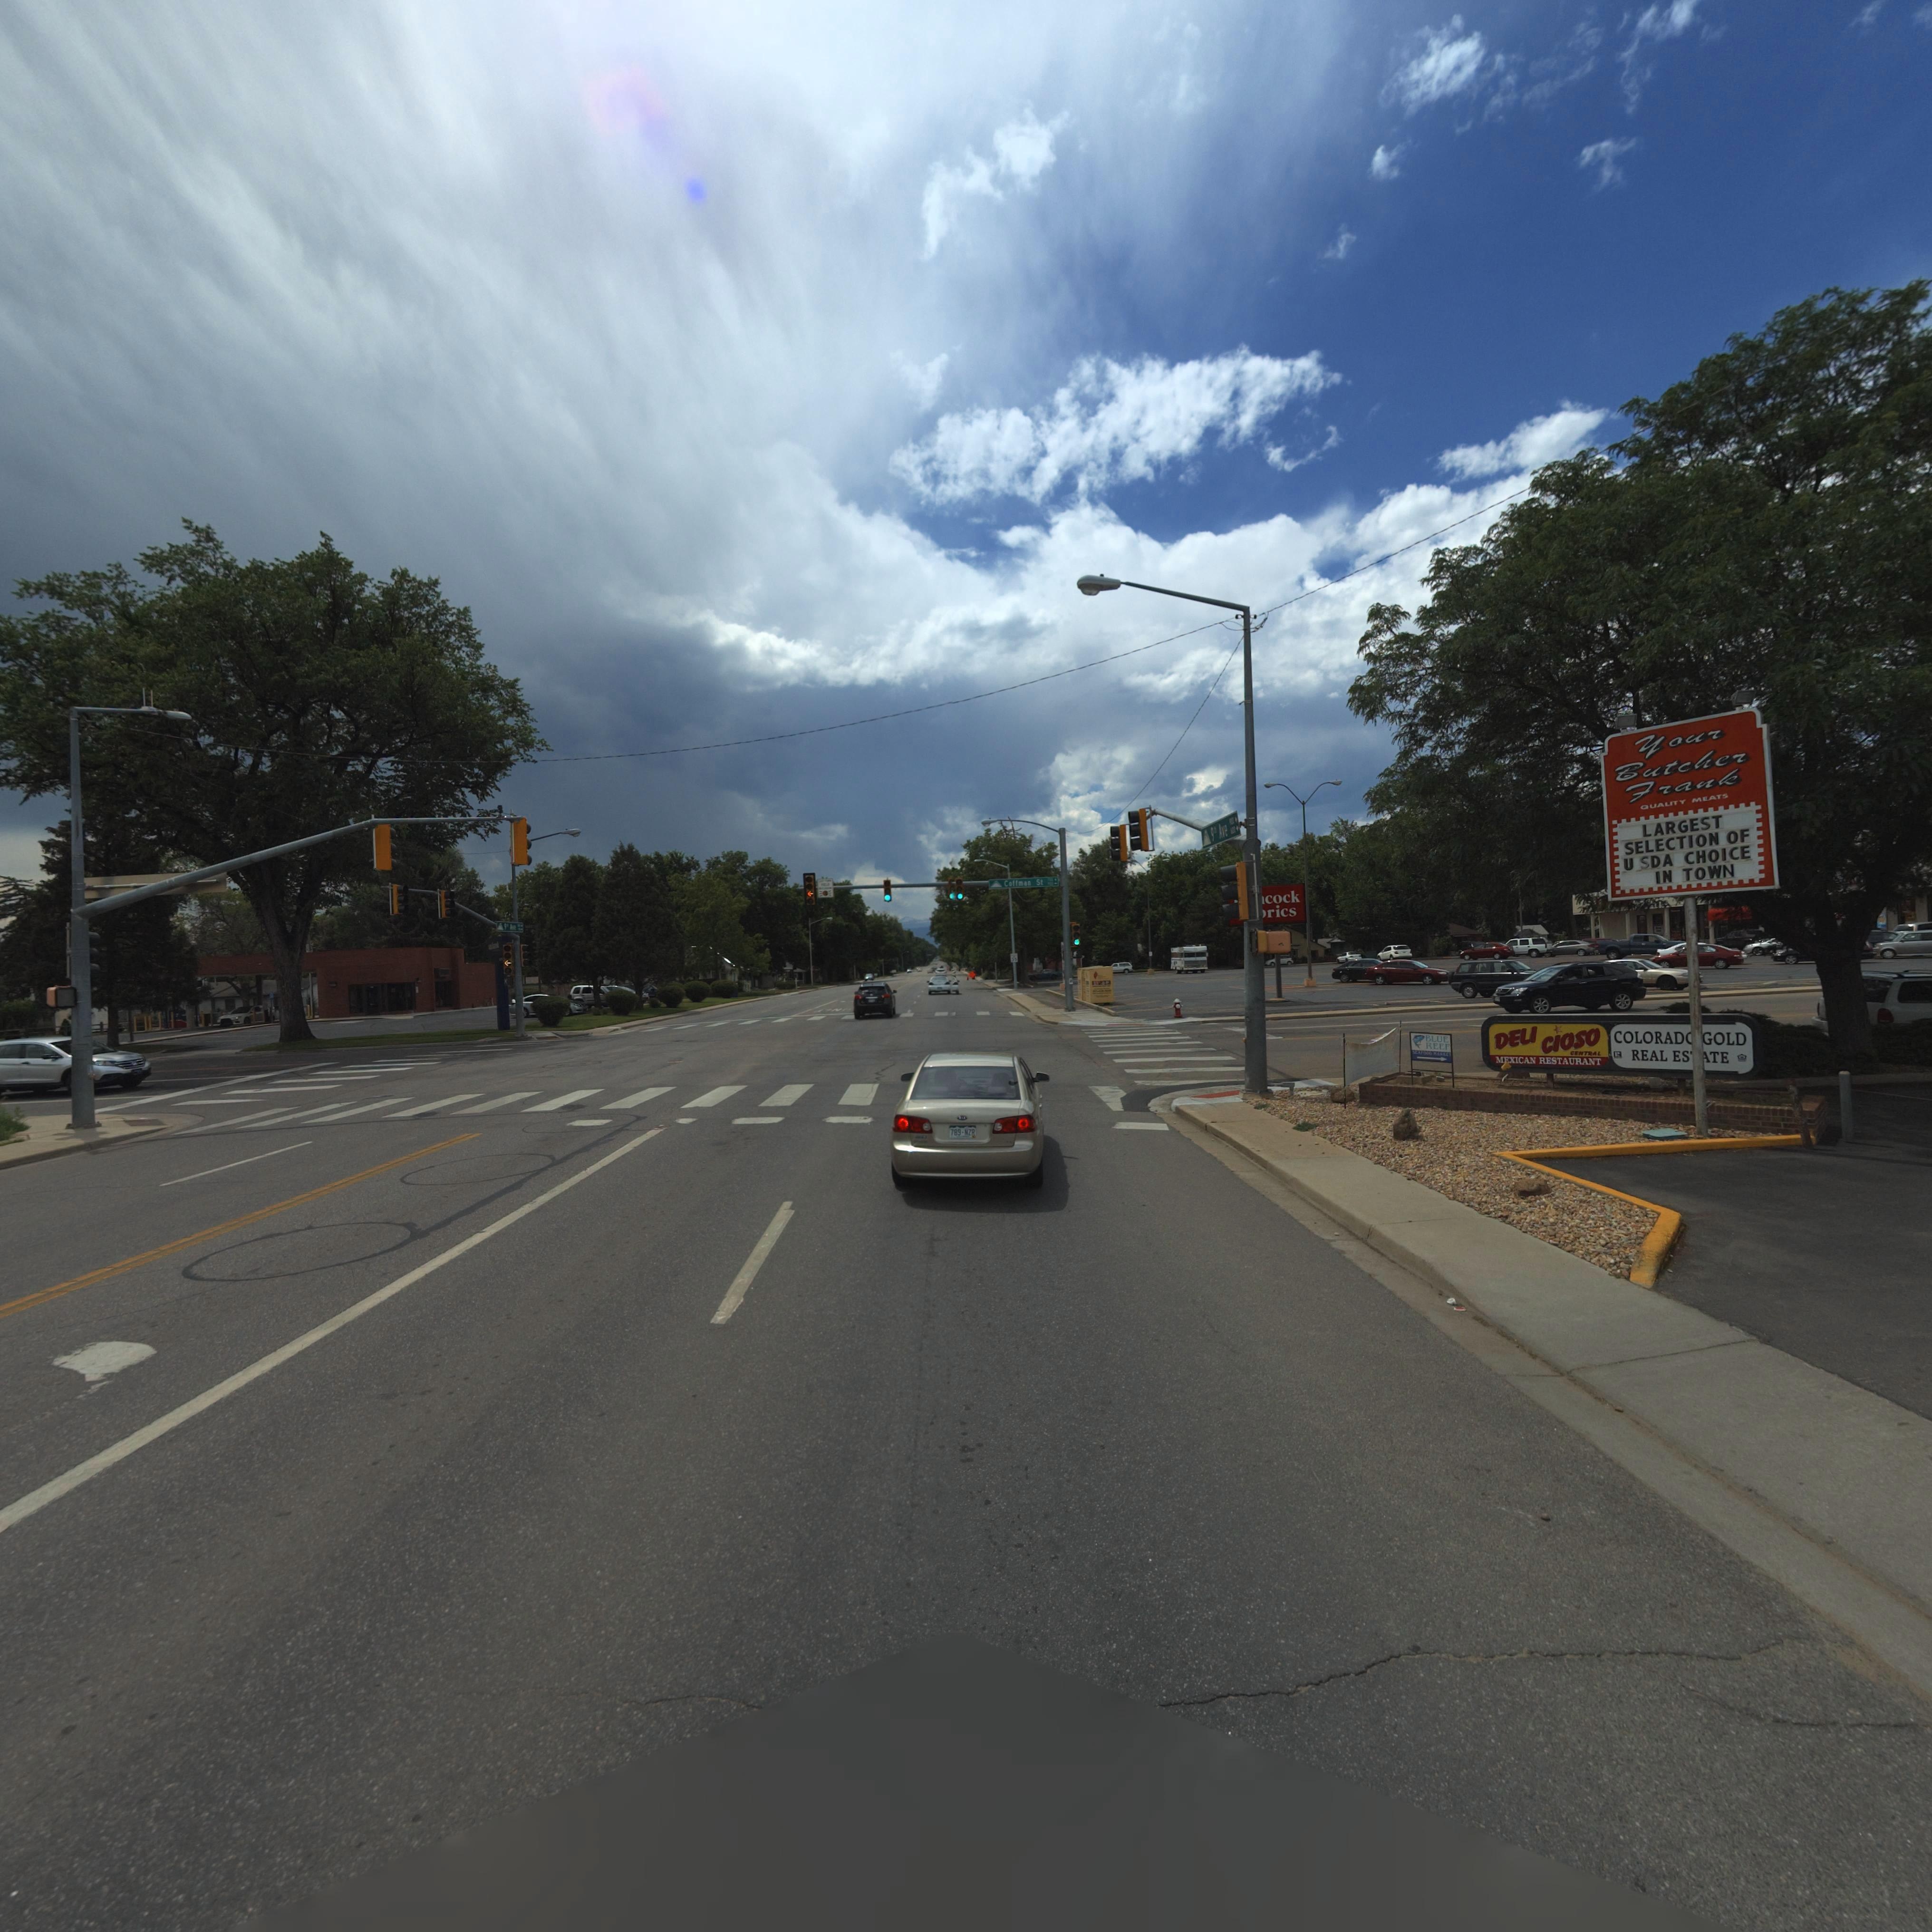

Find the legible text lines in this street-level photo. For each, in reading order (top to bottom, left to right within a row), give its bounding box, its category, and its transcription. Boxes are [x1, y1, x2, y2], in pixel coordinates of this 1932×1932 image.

[1633, 729, 1722, 760] BusinessName: Your
[1614, 750, 1748, 782] BusinessName: Butcher
[1625, 768, 1741, 803] BusinessName: Frank
[1210, 823, 1228, 842] StreetName: 9th Ave
[1004, 879, 1043, 887] StreetName: Coffman St
[1261, 890, 1300, 904] BusinessName: *cock
[1262, 905, 1296, 918] BusinessName: *rics
[504, 923, 516, 930] StreetName: 9th Ave
[1495, 1025, 1537, 1050] BusinessName: DELI
[1541, 1027, 1601, 1054] BusinessName: CIOSO
[1614, 1031, 1746, 1045] BusinessName: COLORADO GOLD
[1496, 1056, 1601, 1065] BusinessName: MEXICAN RESTAURANT
[1570, 1051, 1601, 1056] BusinessName: CENTRAL
[1632, 1050, 1729, 1063] BusinessName: REAL ES*ATE